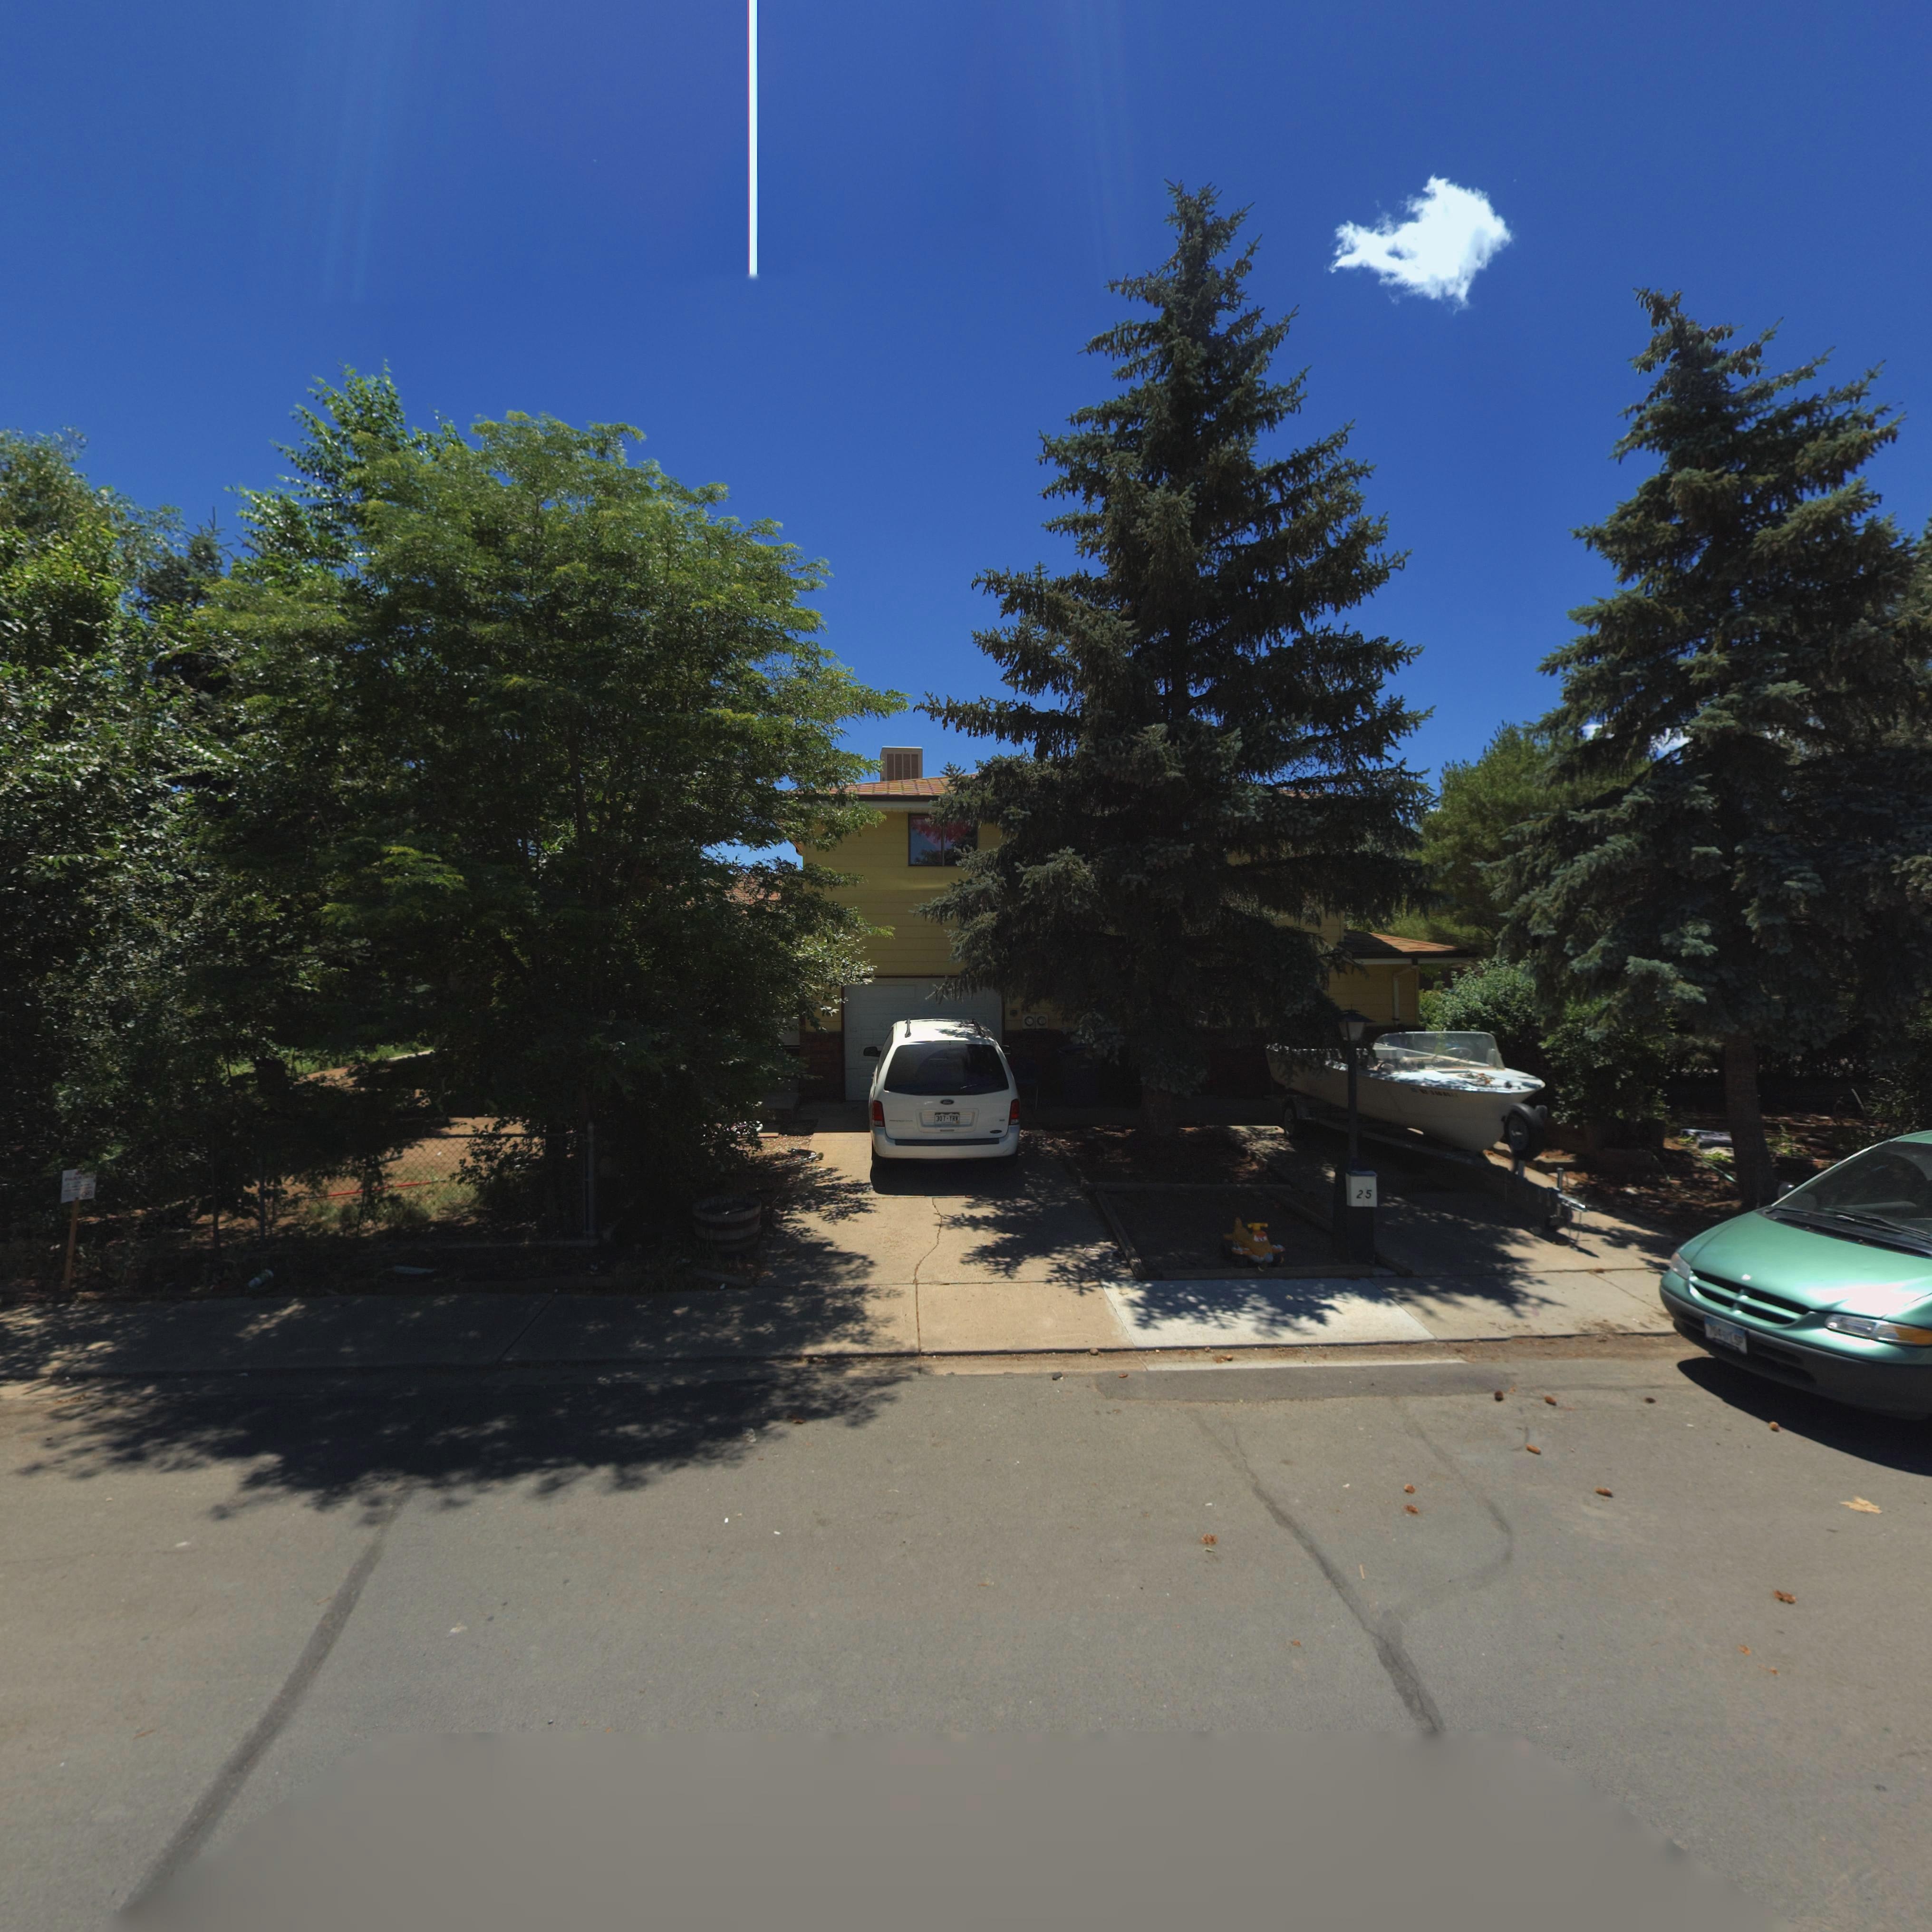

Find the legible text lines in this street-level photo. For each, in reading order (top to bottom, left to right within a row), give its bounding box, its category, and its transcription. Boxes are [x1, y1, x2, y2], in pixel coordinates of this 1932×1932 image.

[1356, 1188, 1372, 1199] StreetNumber: 25